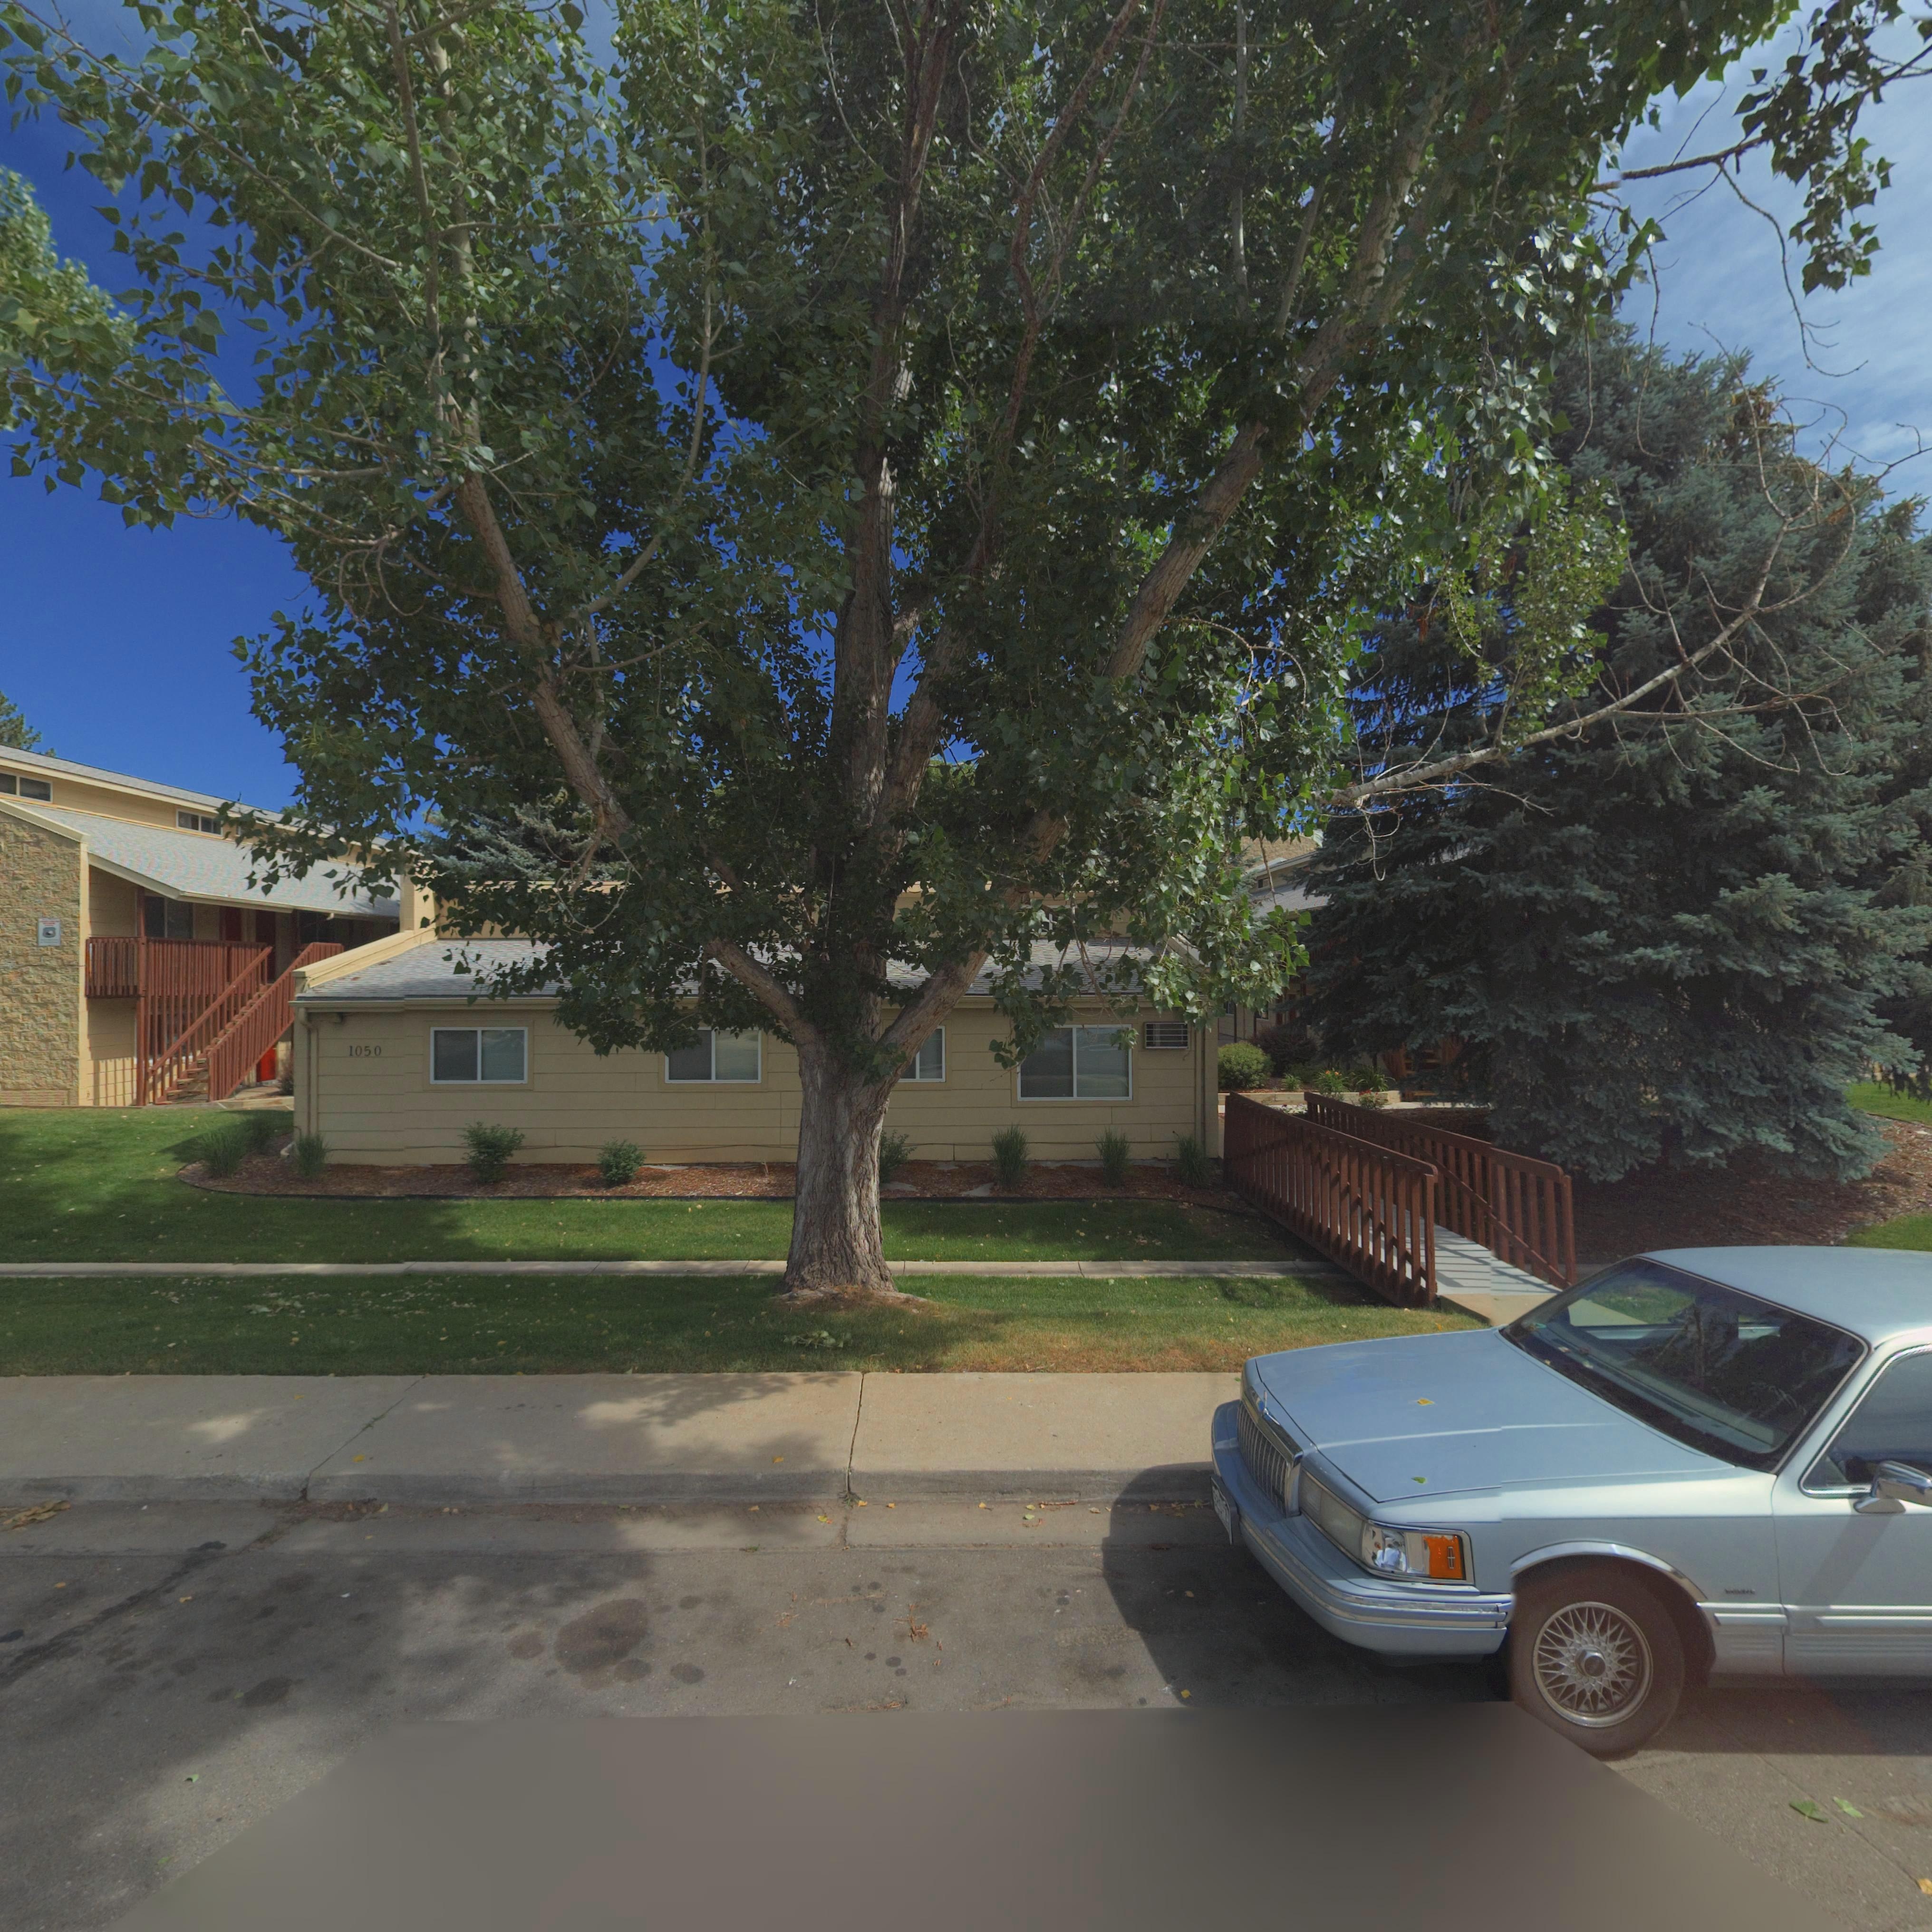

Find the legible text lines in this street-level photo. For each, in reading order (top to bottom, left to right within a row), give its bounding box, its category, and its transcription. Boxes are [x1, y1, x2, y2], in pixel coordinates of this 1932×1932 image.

[347, 1044, 382, 1057] StreetNumber: 1050